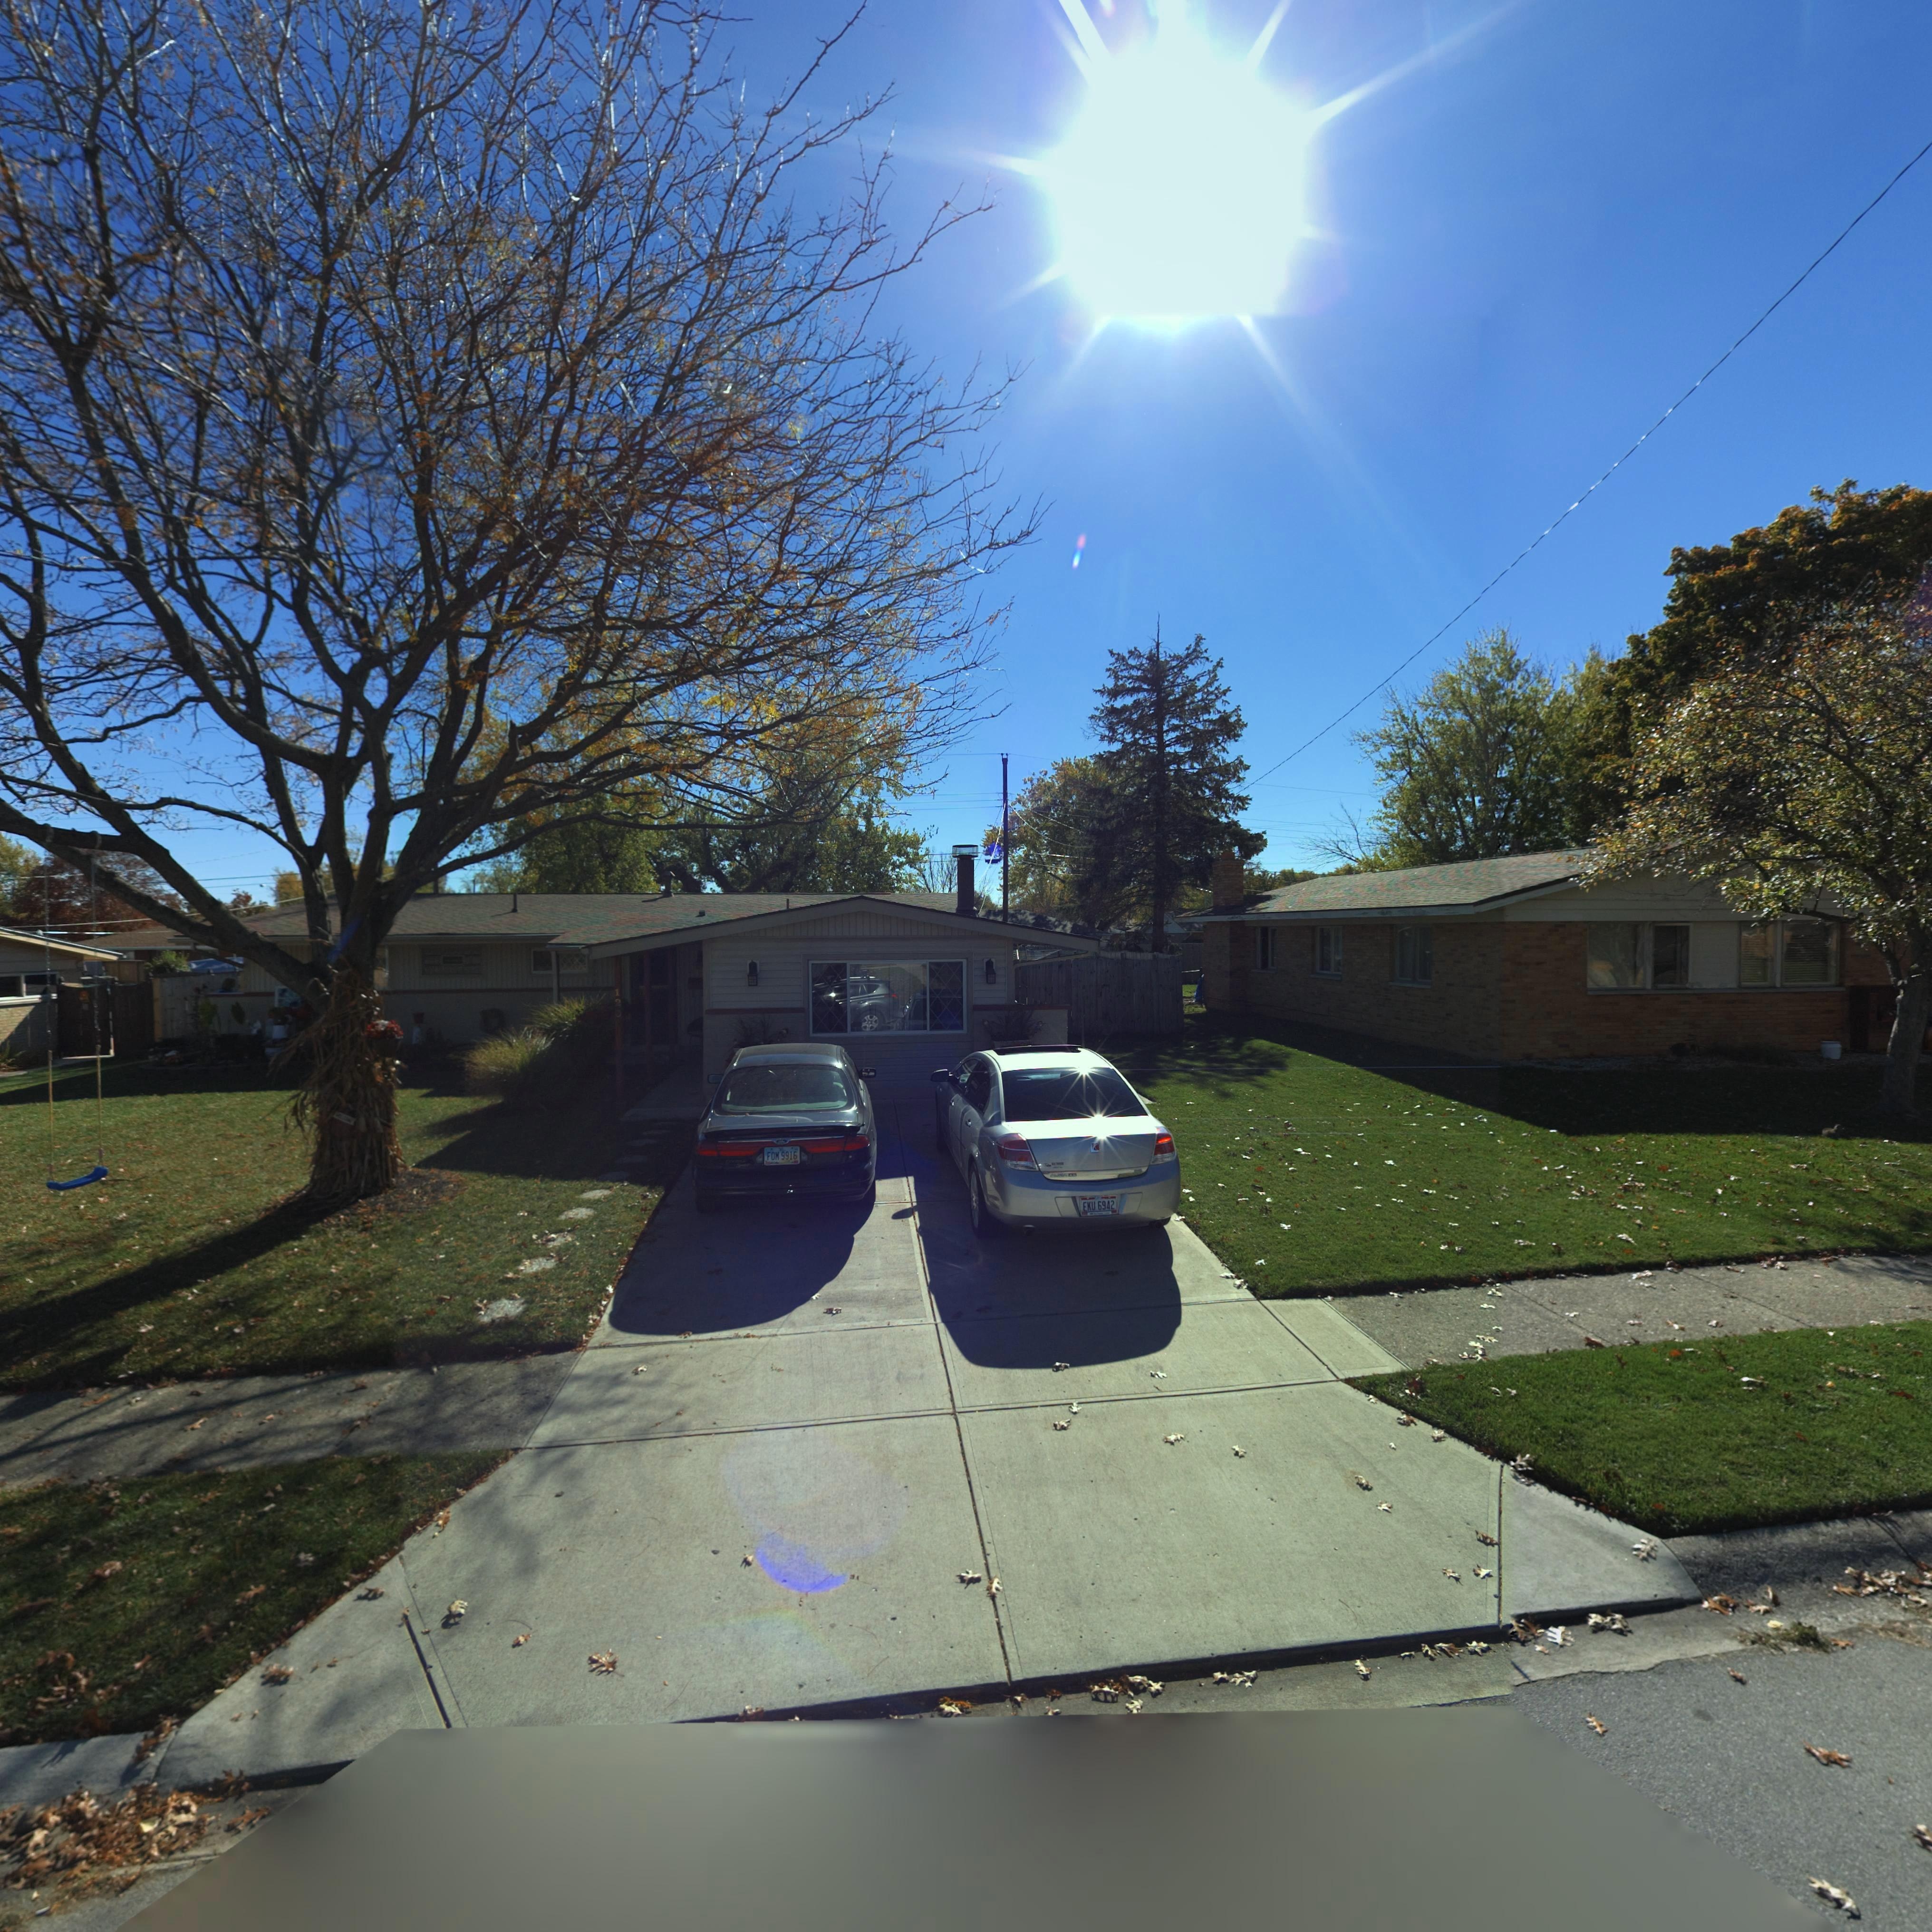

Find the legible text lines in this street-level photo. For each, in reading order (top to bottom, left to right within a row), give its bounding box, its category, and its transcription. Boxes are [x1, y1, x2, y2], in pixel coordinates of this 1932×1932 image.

[614, 986, 623, 1019] StreetNumber: 12*